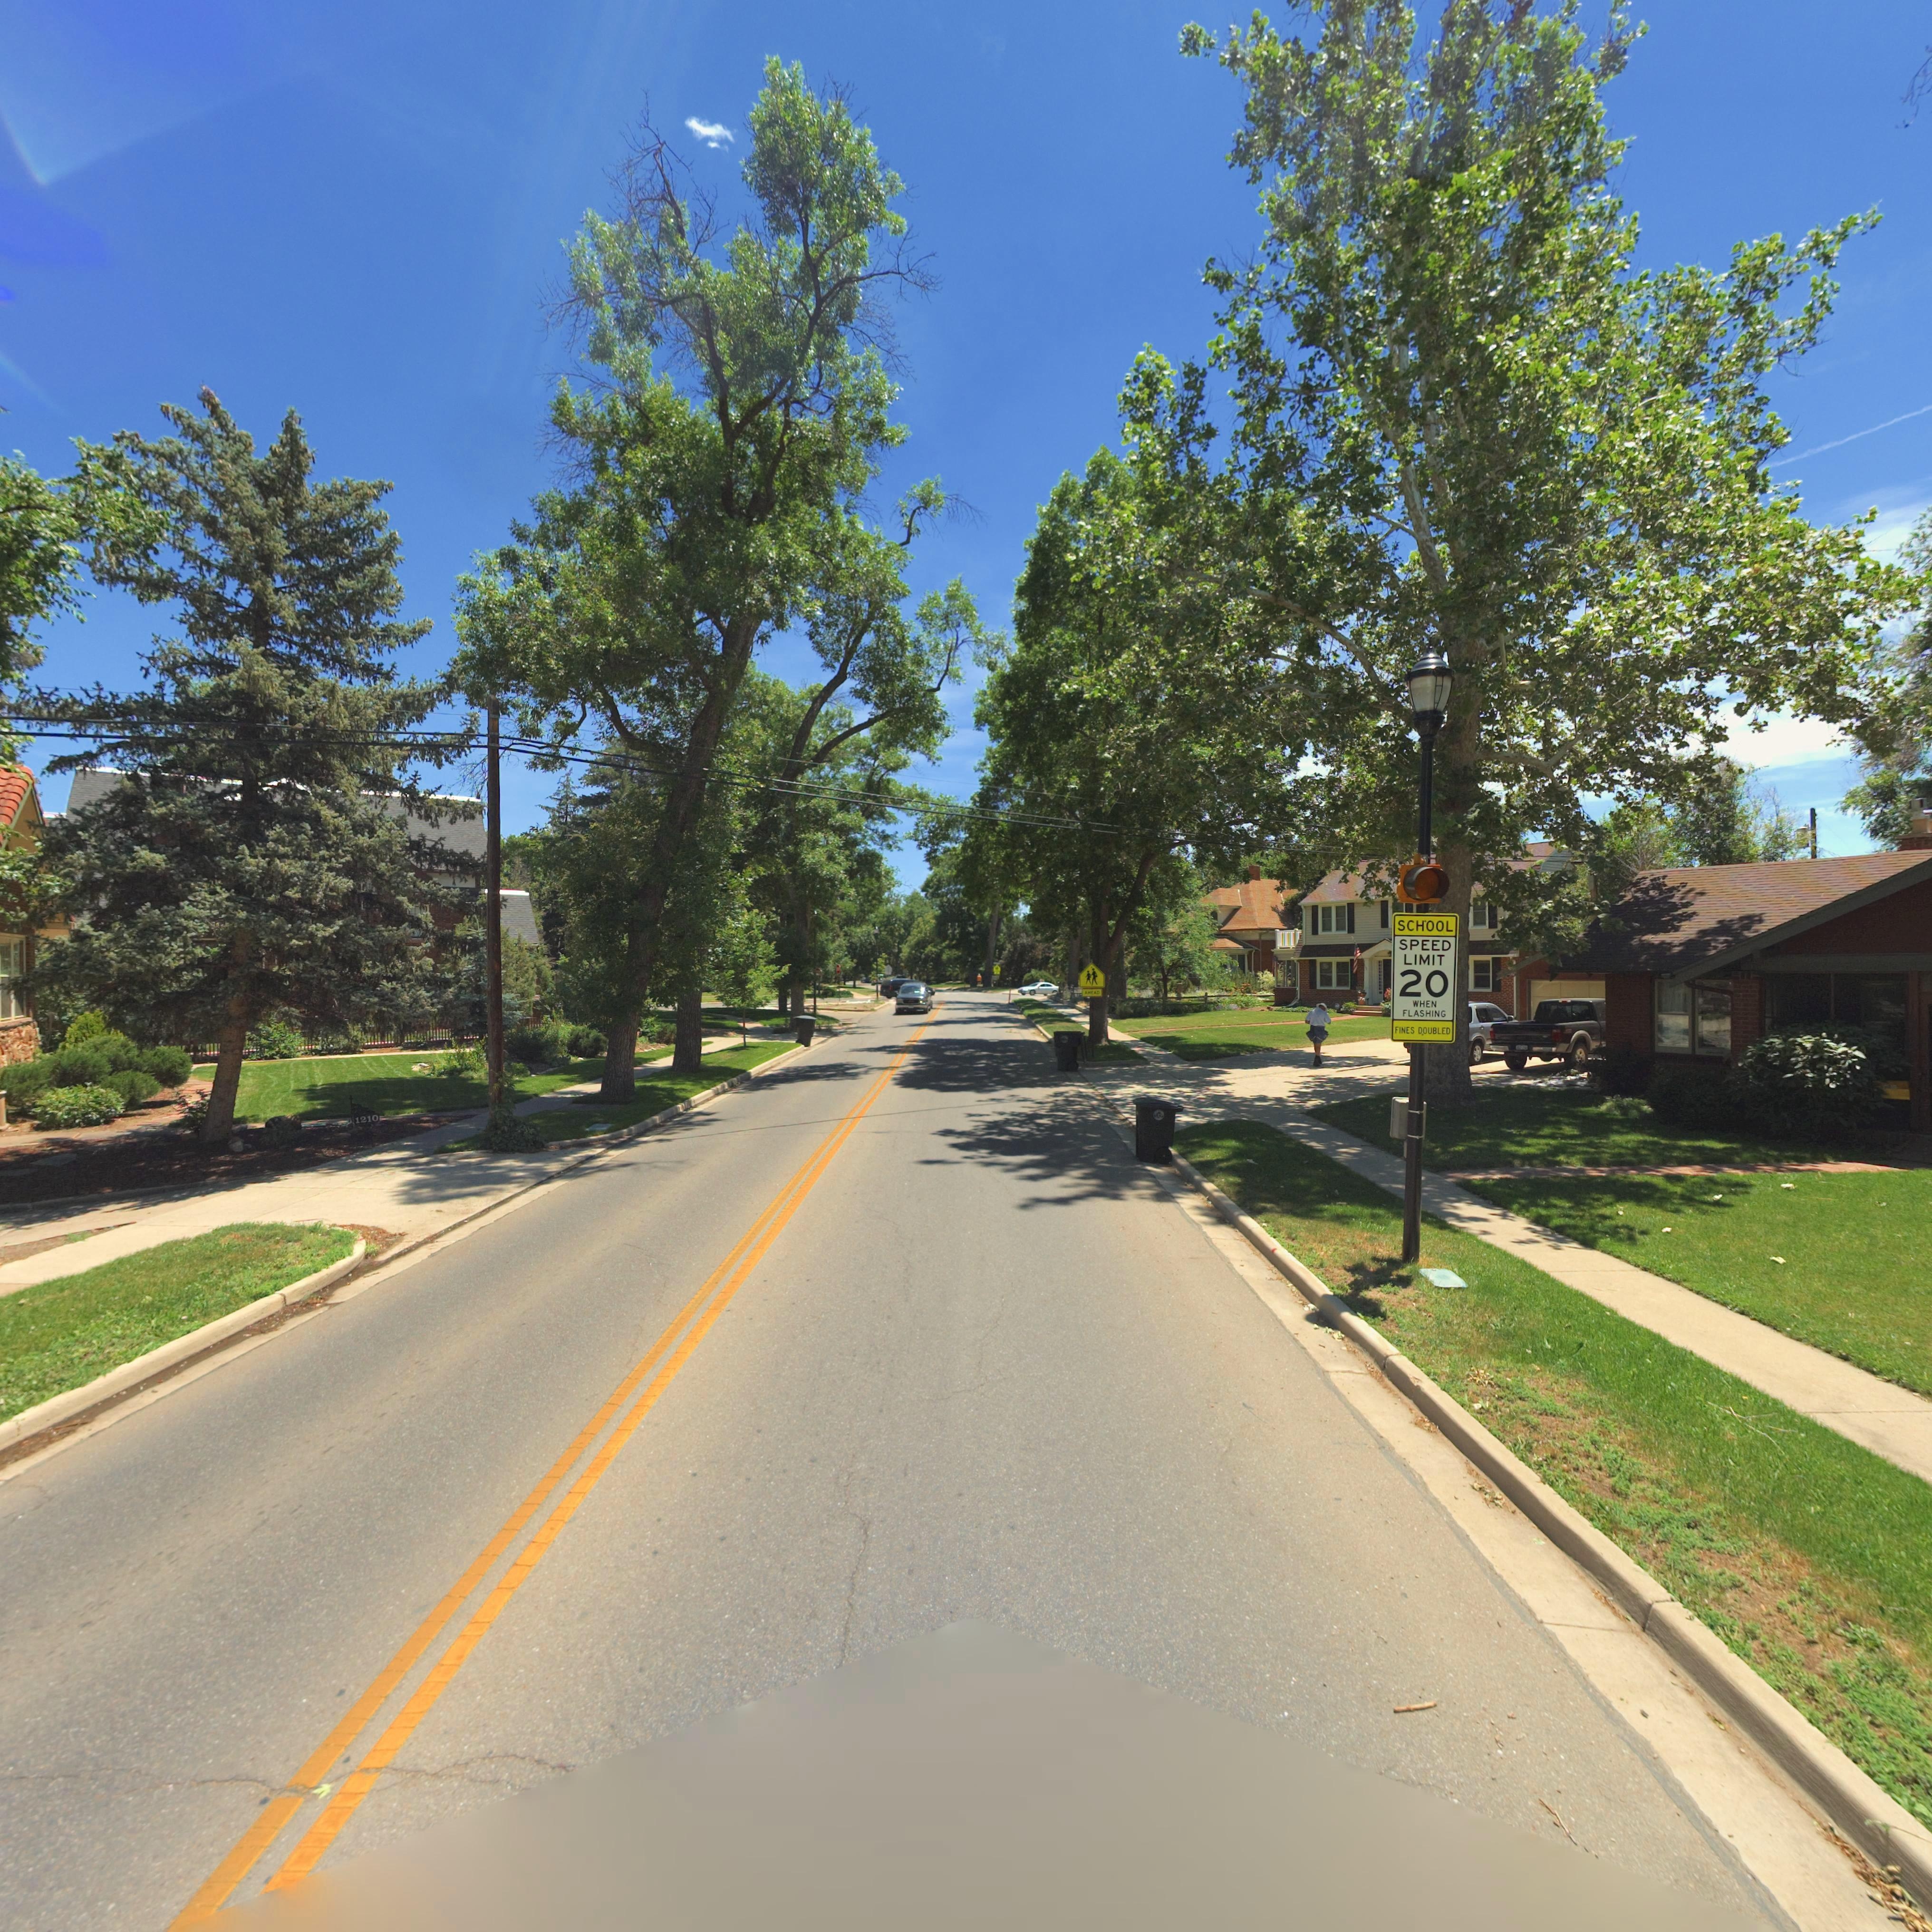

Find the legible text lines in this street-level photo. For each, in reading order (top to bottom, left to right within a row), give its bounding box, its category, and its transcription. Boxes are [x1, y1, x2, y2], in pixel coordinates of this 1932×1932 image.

[354, 1114, 378, 1124] StreetNumber: 1210